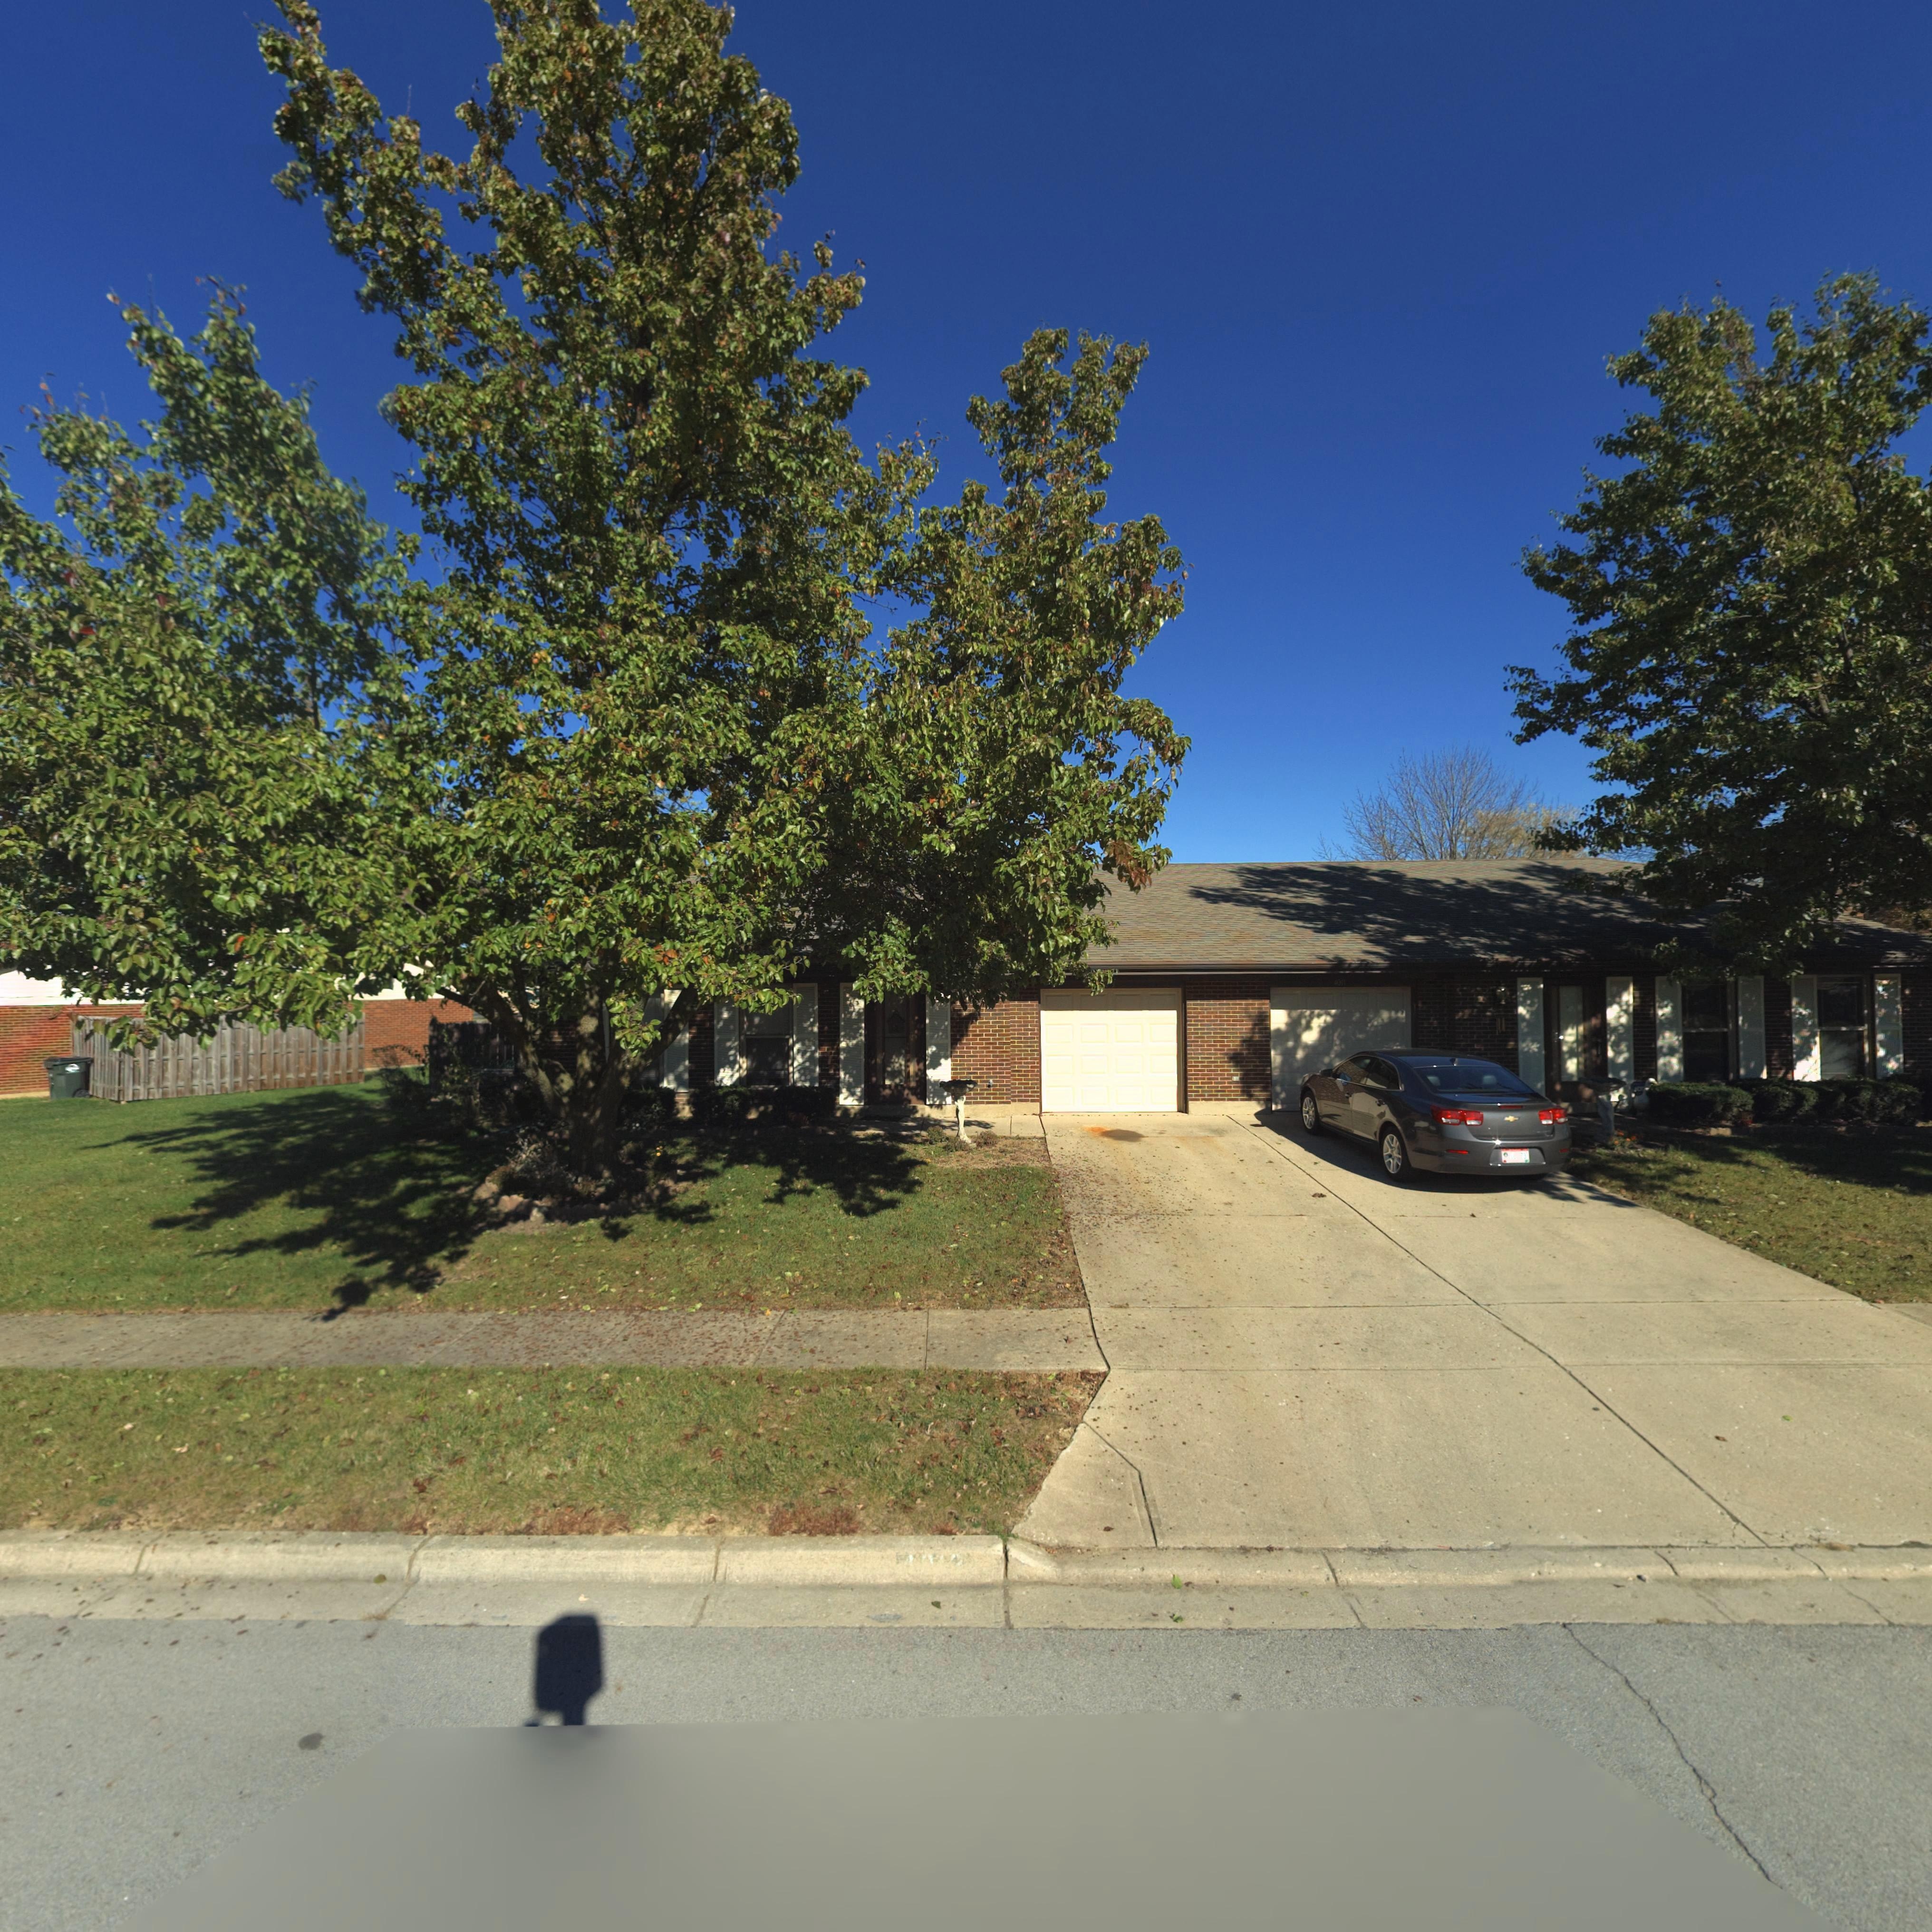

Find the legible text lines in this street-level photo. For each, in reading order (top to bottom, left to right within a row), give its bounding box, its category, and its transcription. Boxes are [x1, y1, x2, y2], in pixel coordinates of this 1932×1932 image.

[1111, 980, 1115, 988] StreetNumber: 3
[1333, 979, 1346, 987] StreetNumber: 40*1